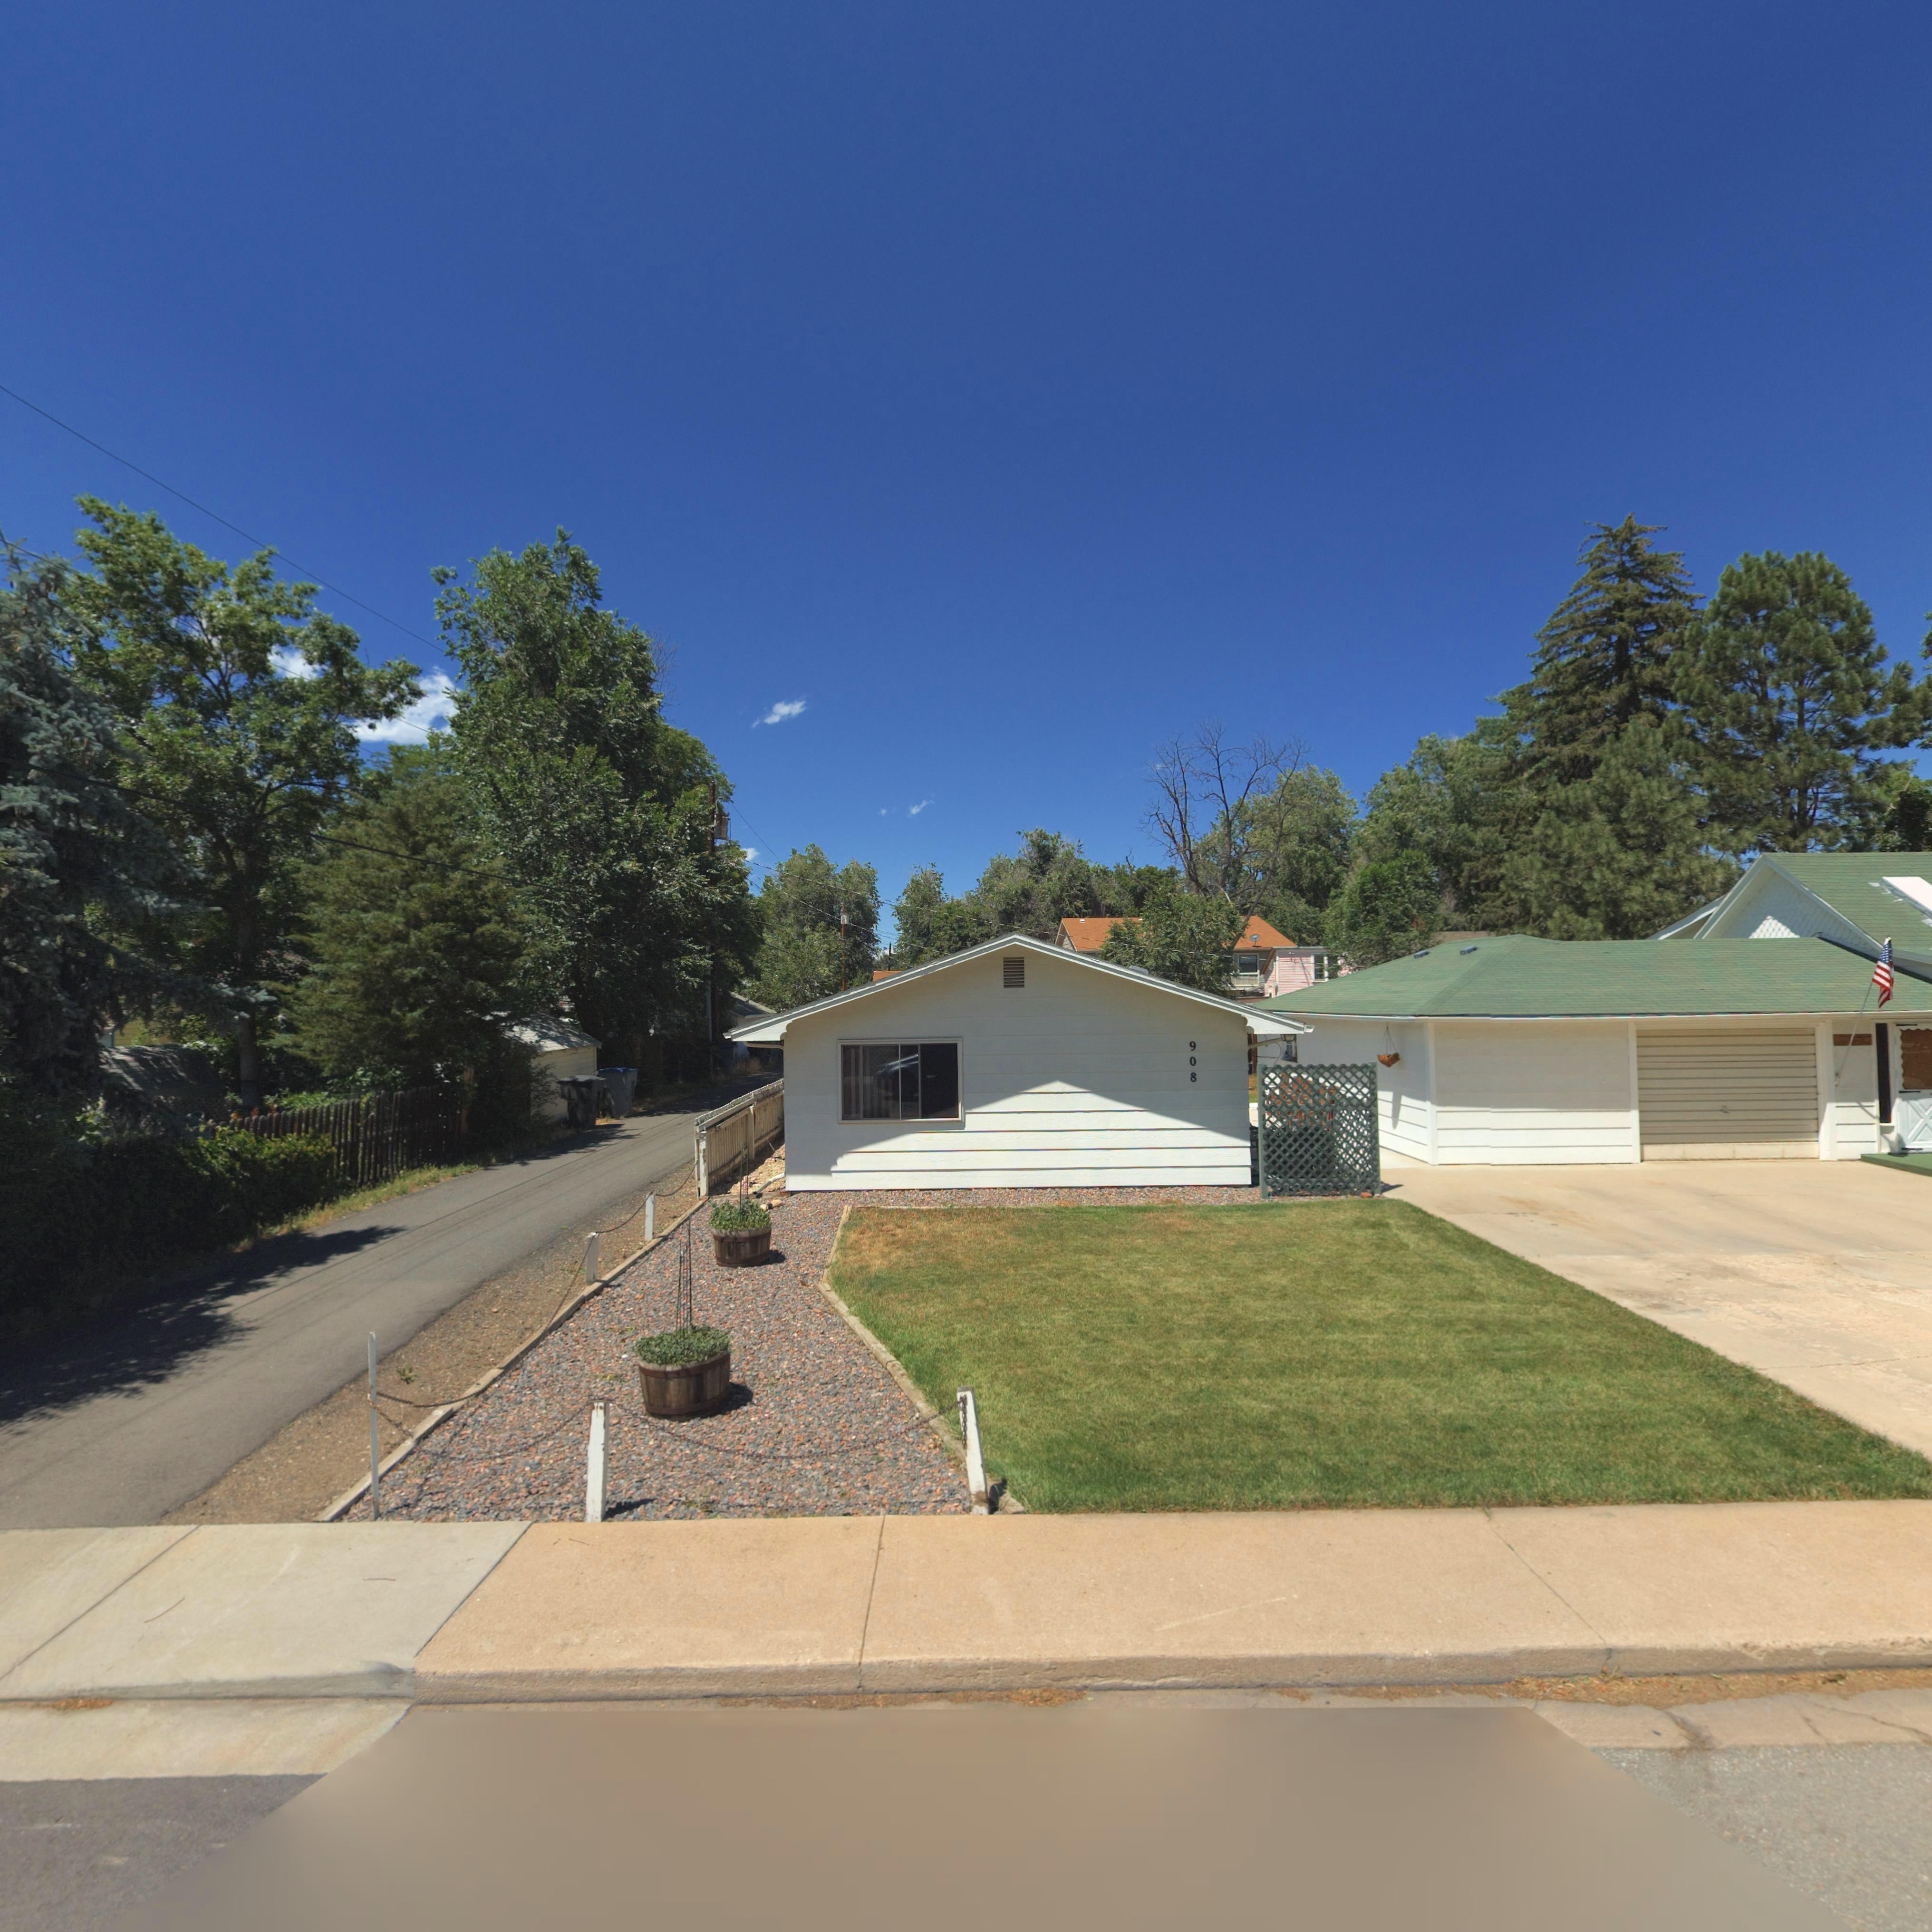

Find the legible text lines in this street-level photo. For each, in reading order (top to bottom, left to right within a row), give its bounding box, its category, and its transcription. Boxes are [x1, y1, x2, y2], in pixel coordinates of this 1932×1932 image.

[1188, 1041, 1197, 1082] StreetNumber: 908